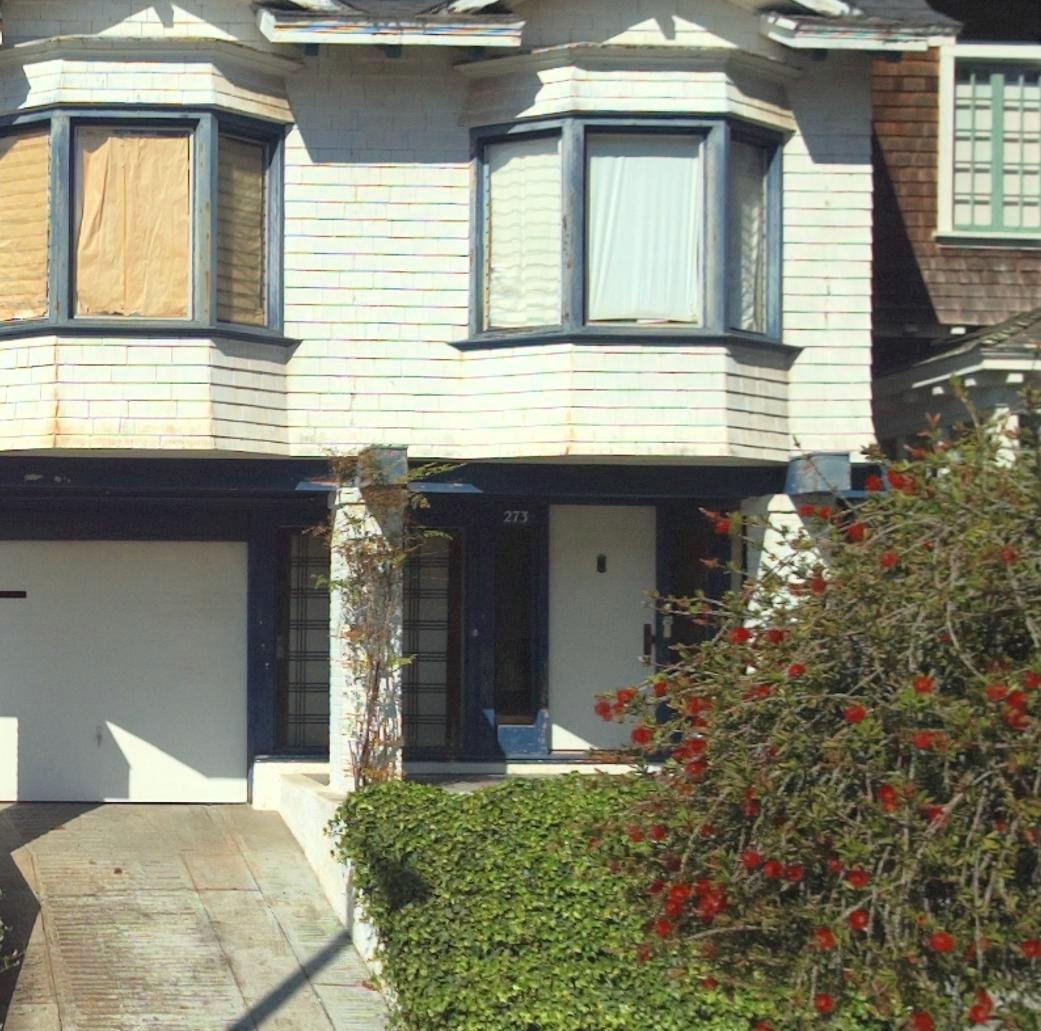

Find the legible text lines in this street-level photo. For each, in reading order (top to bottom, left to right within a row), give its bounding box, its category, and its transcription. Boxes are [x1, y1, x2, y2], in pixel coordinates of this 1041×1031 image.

[502, 509, 529, 526] StreetNumber: 273